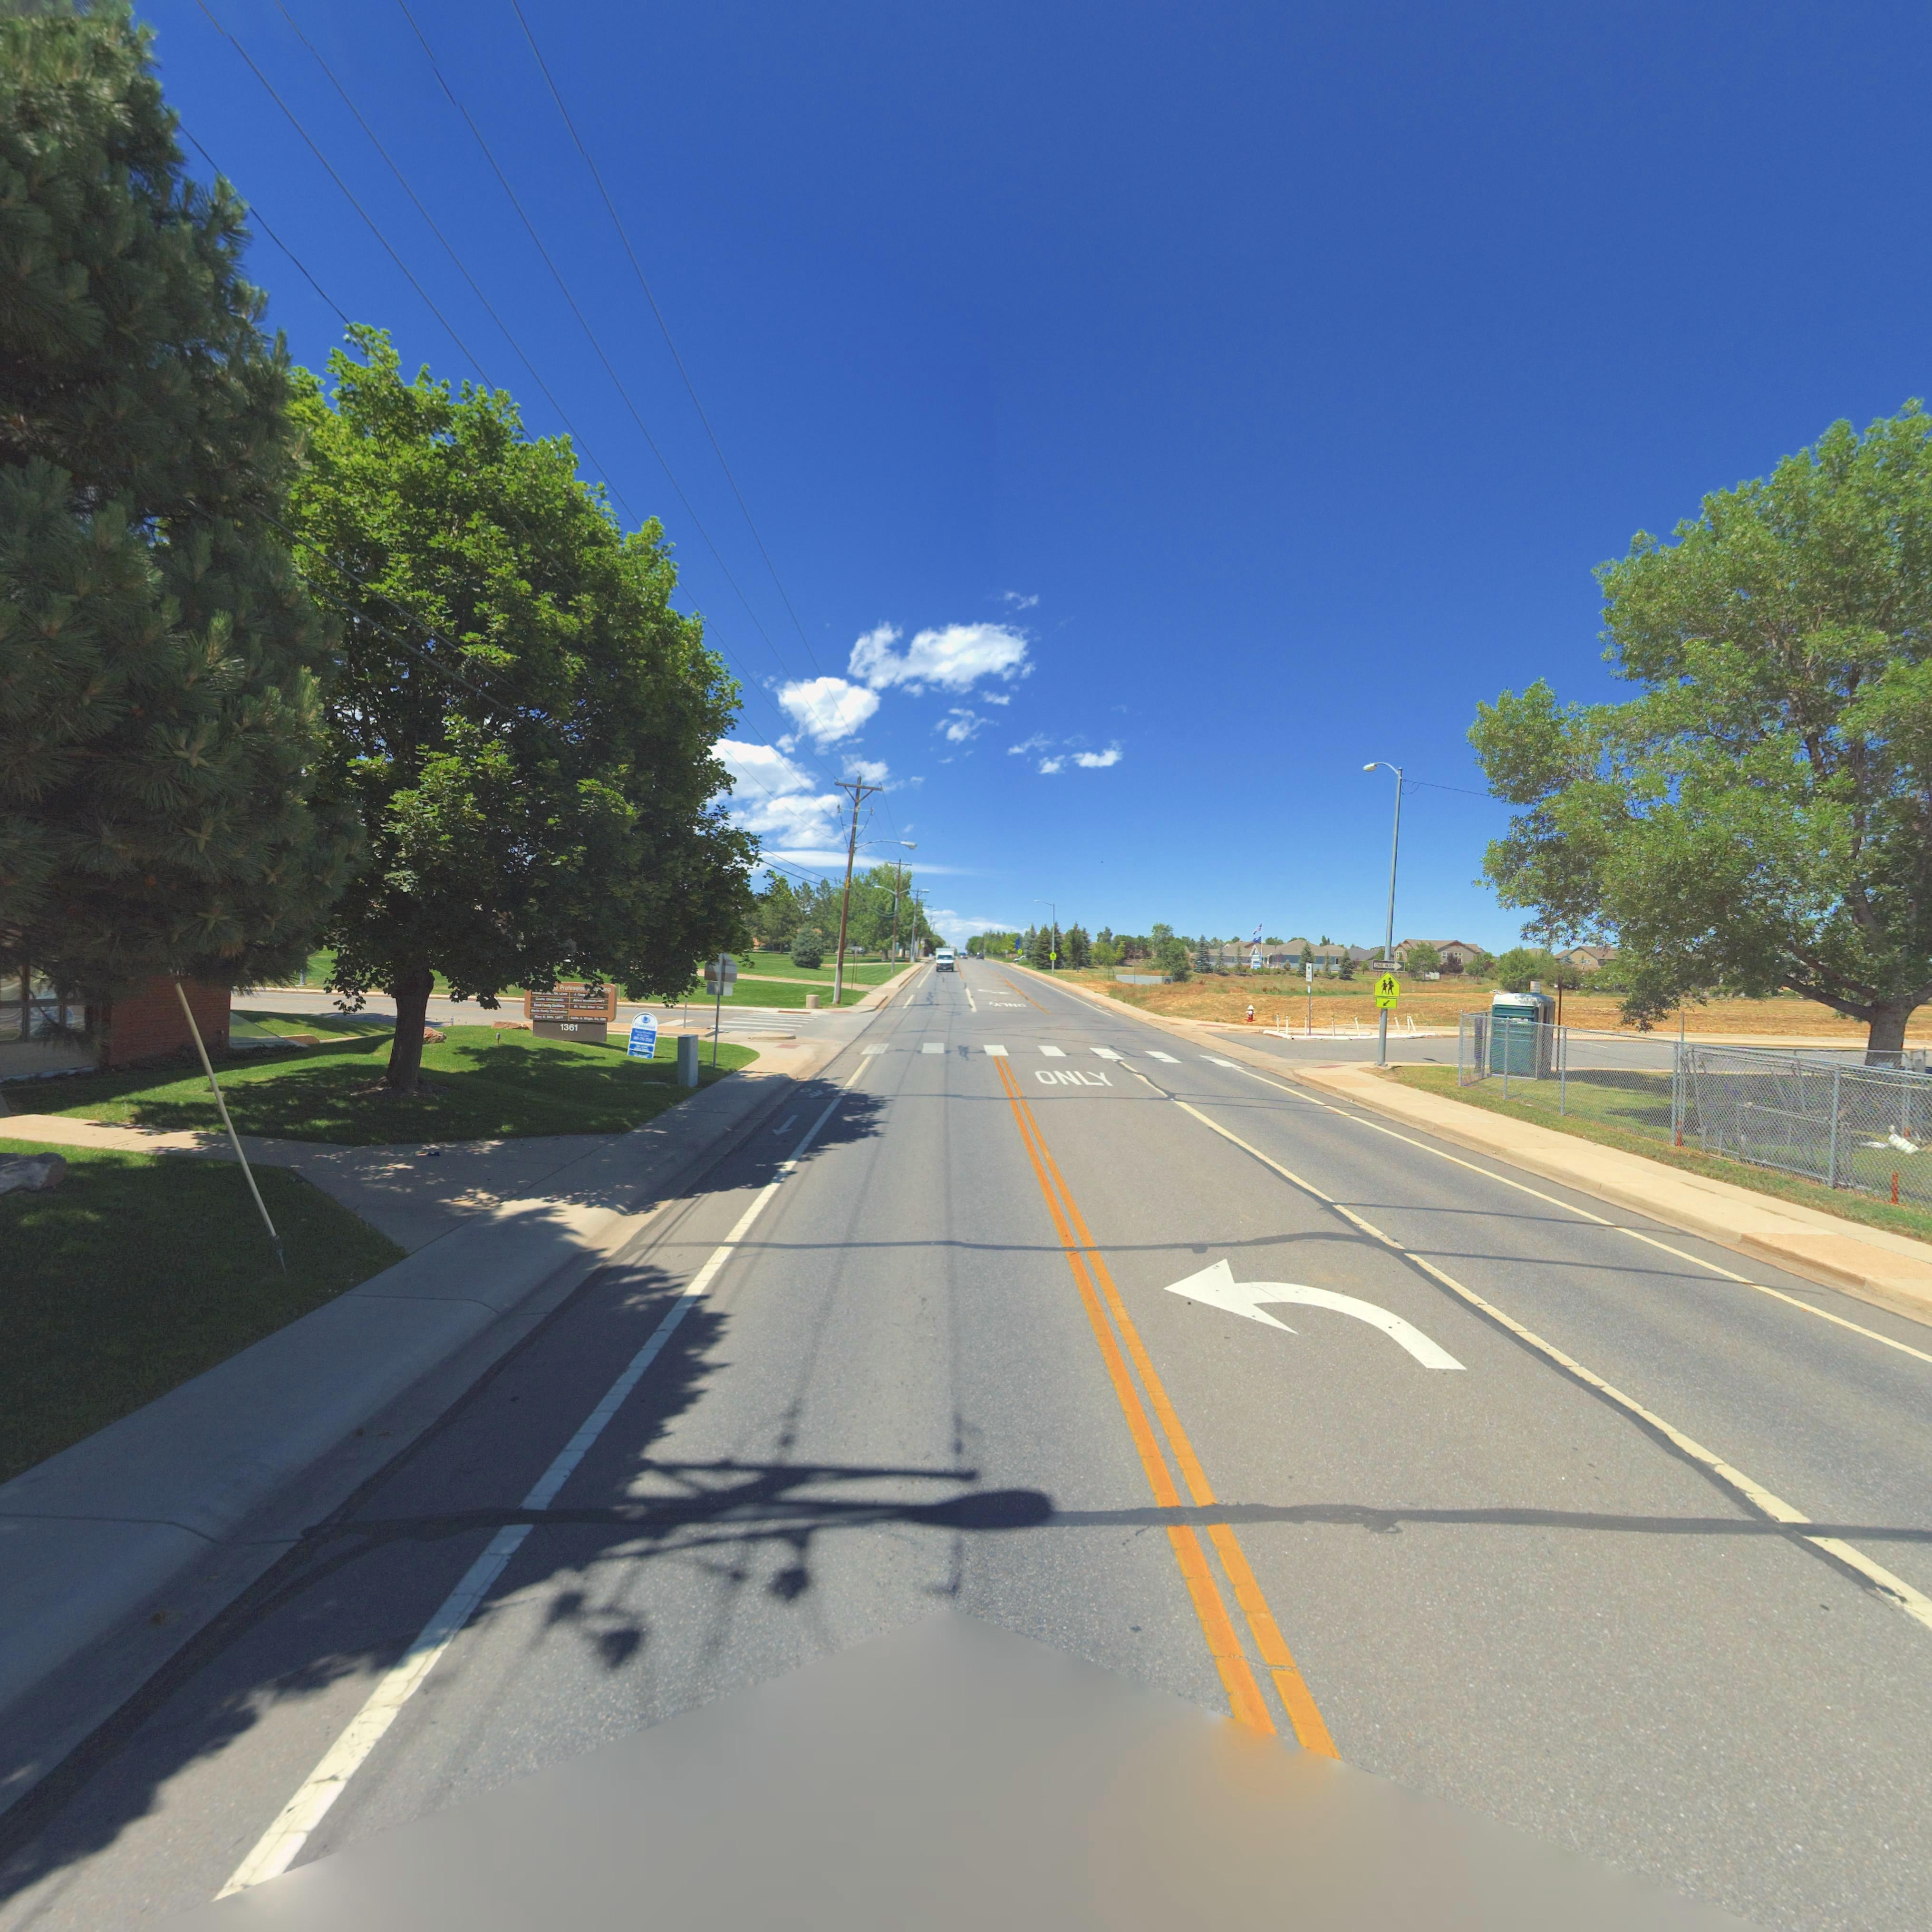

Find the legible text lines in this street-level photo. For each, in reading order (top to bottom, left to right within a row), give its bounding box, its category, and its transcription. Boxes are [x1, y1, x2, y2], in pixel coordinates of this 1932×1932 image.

[559, 1023, 578, 1031] StreetNumber: 1361